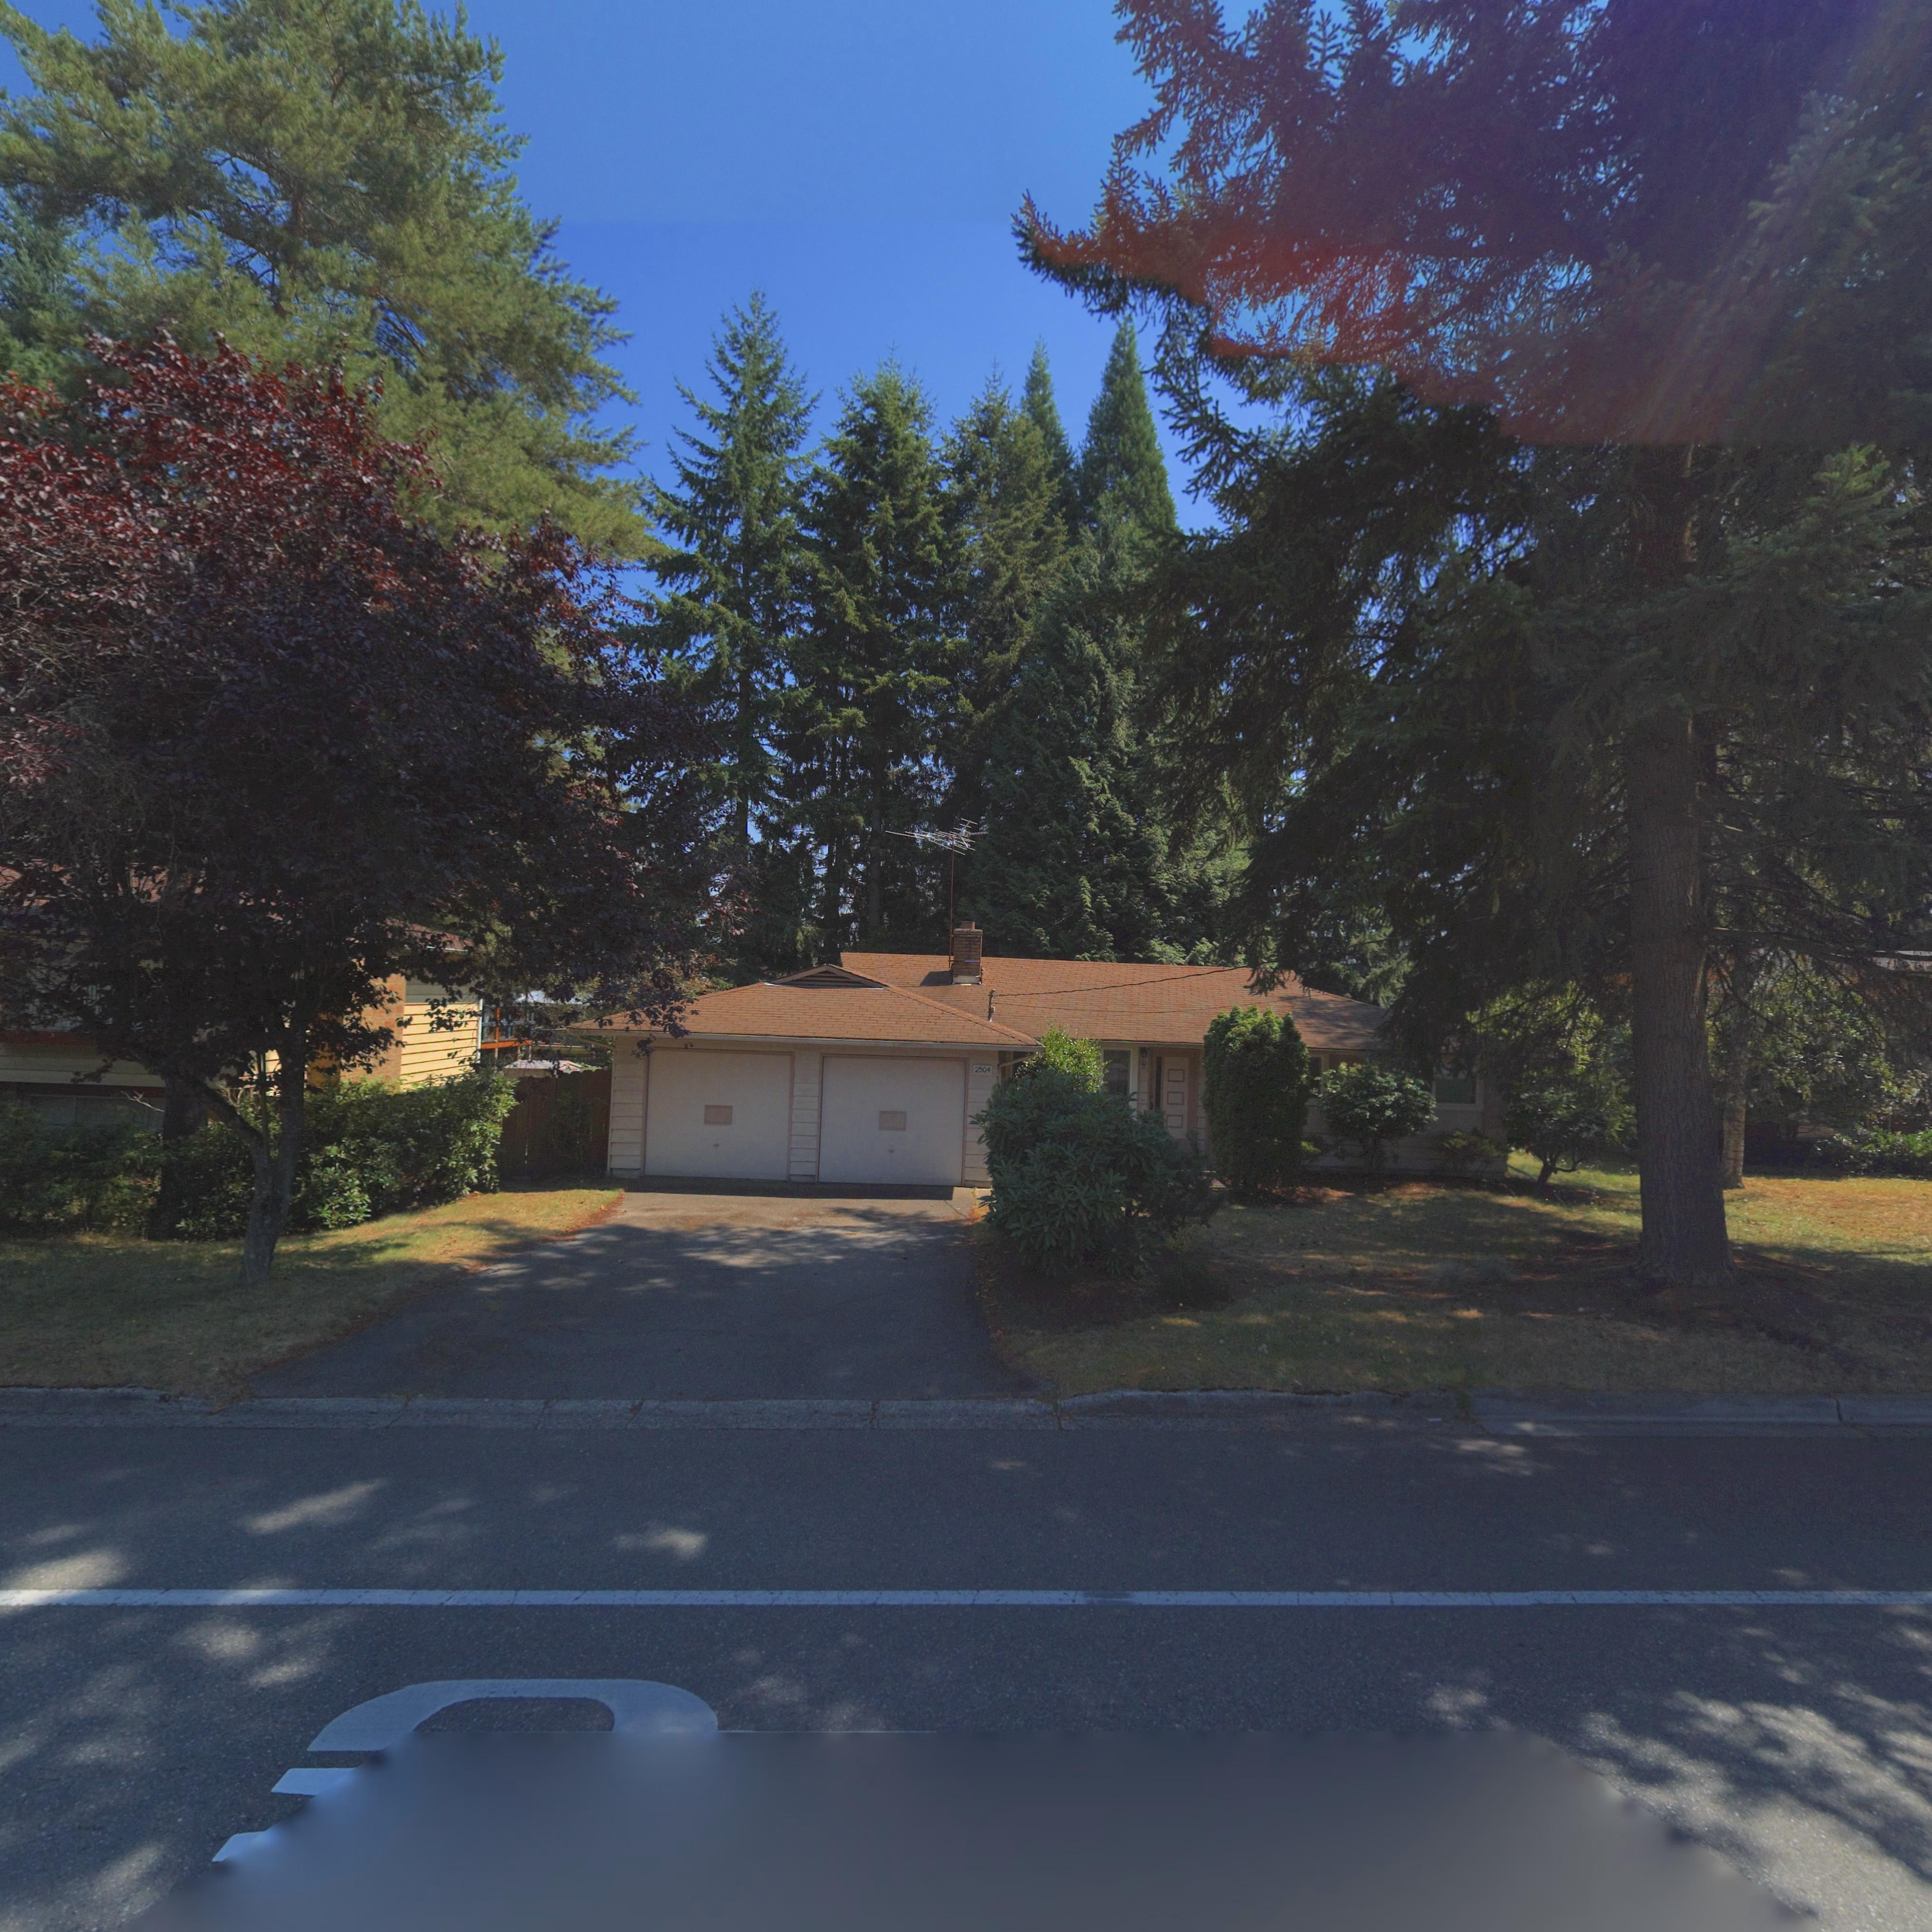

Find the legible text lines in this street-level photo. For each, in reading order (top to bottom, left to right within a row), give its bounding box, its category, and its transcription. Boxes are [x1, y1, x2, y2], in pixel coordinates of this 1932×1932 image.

[975, 1067, 990, 1072] StreetNumber: 2504